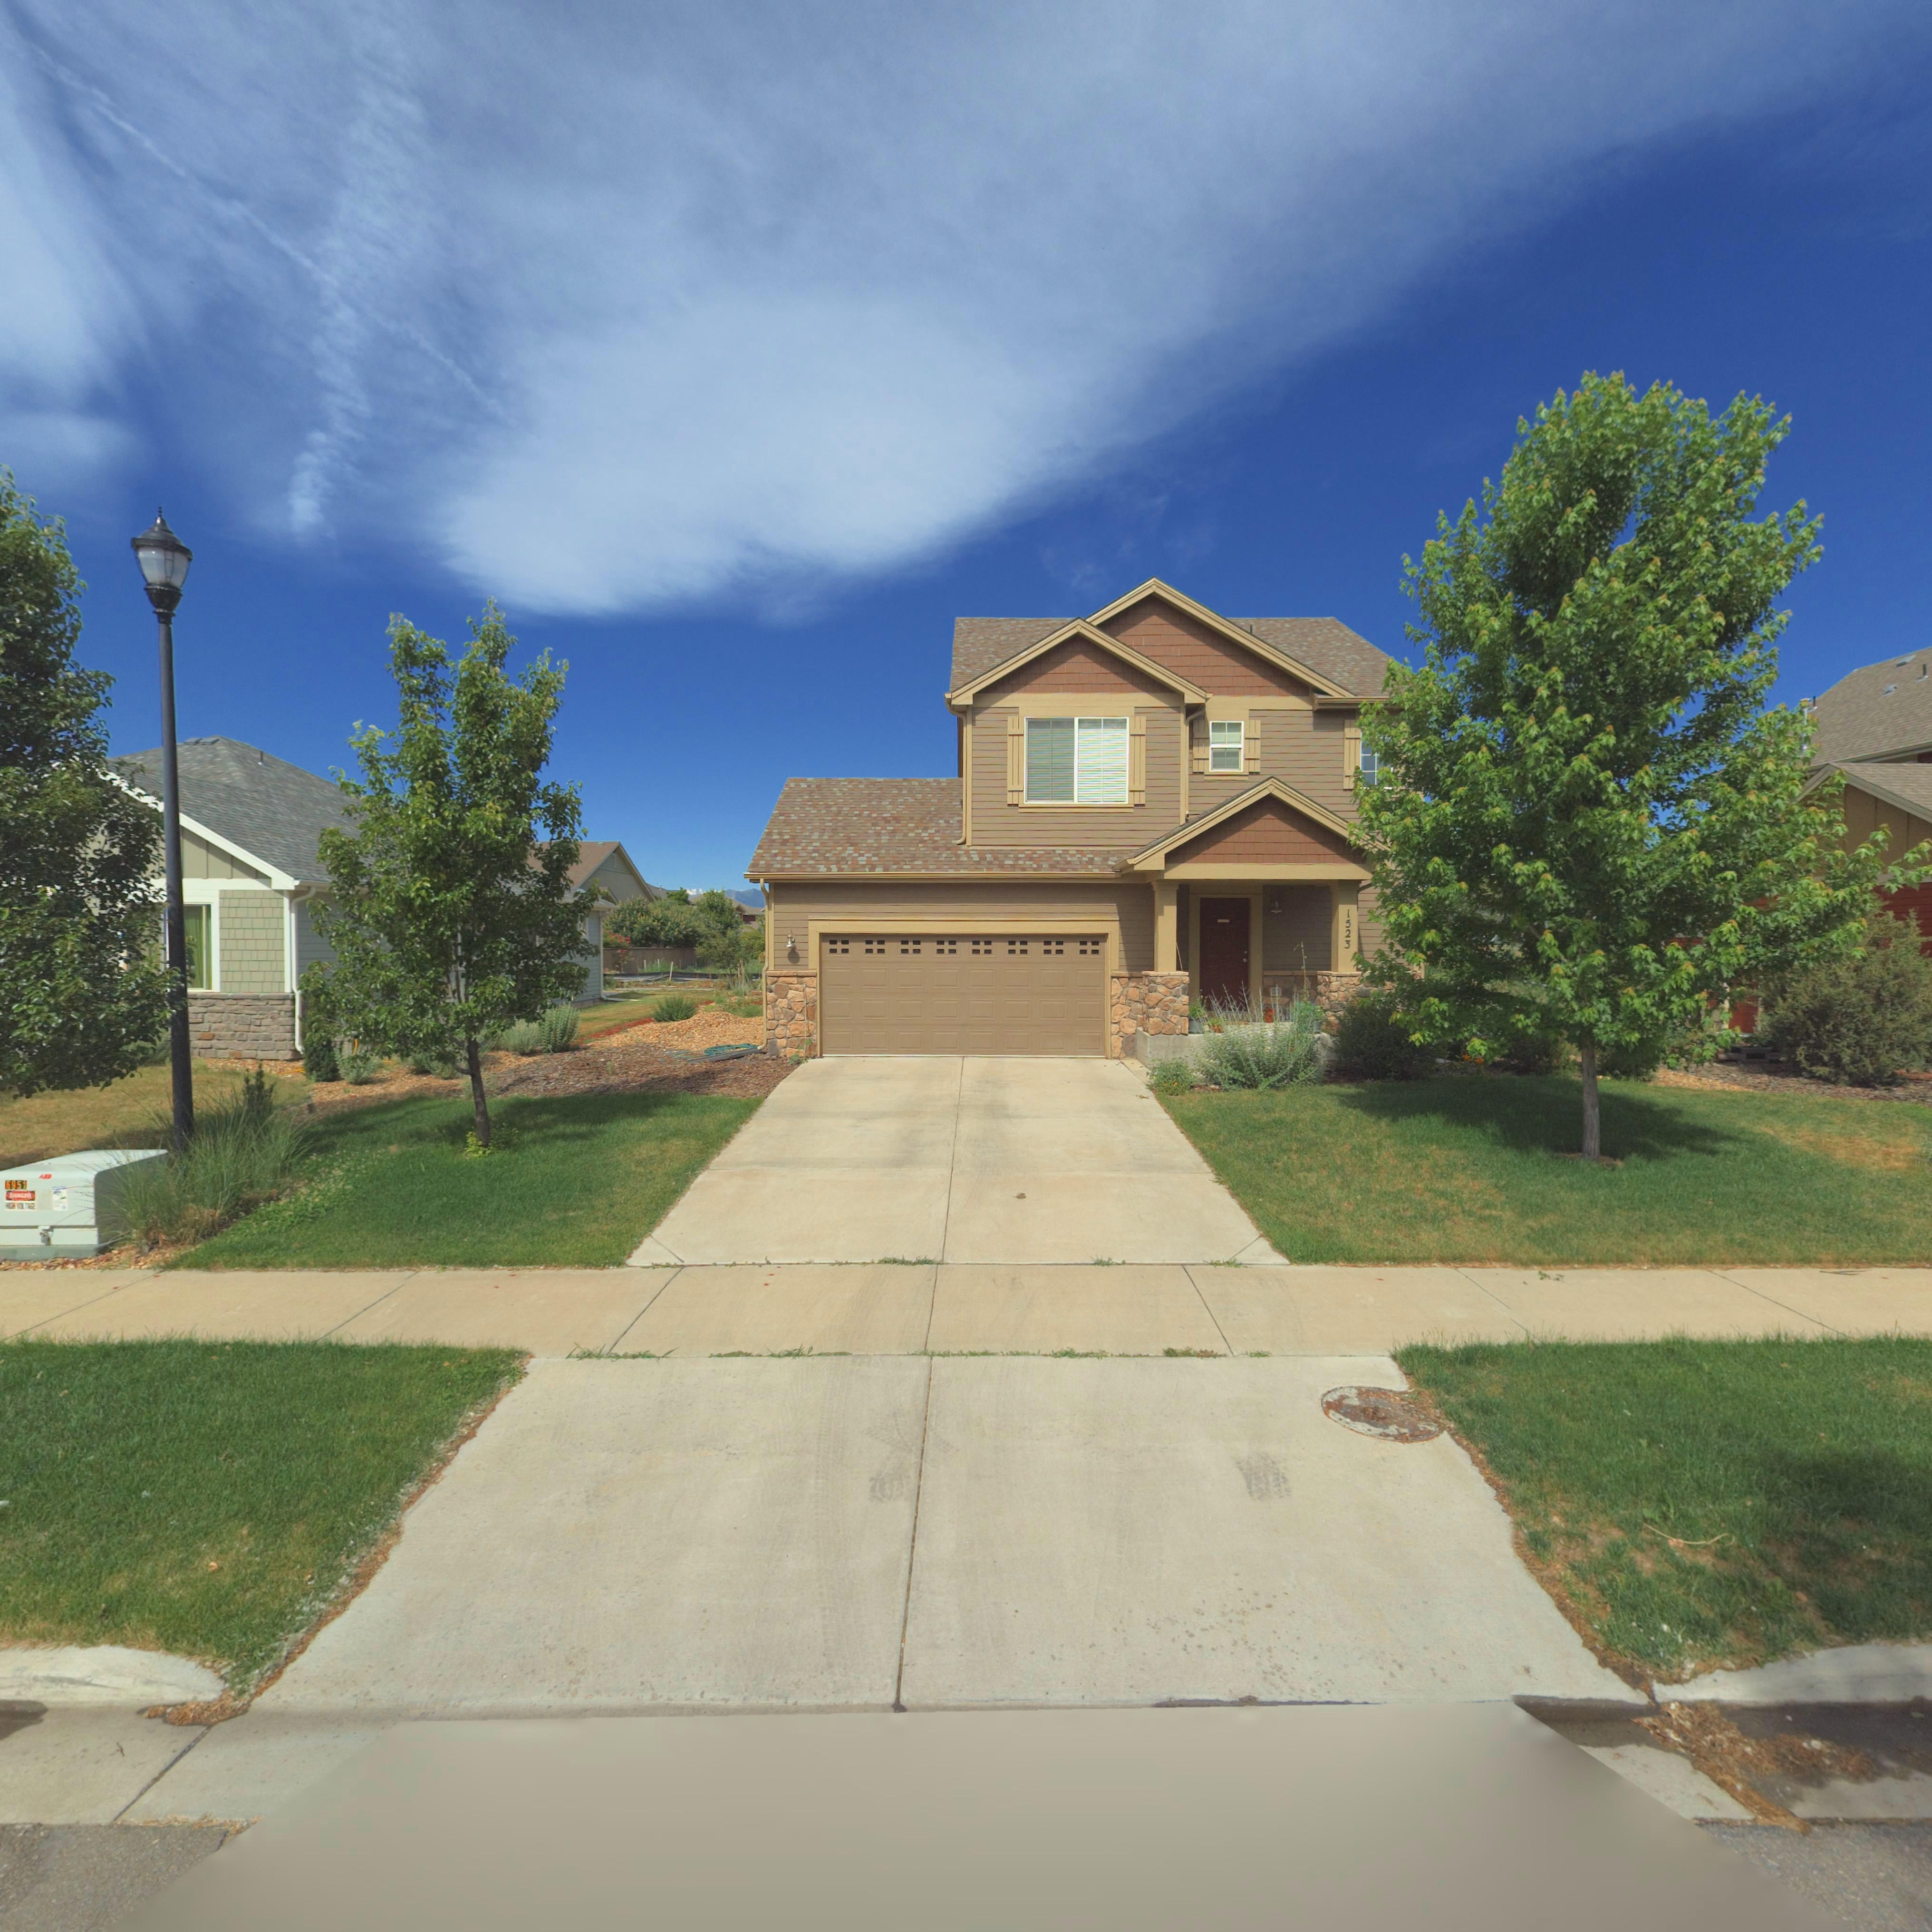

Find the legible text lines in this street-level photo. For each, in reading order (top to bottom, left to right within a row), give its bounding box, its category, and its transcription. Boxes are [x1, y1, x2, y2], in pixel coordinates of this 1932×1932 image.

[1344, 908, 1351, 949] StreetNumber: 1523